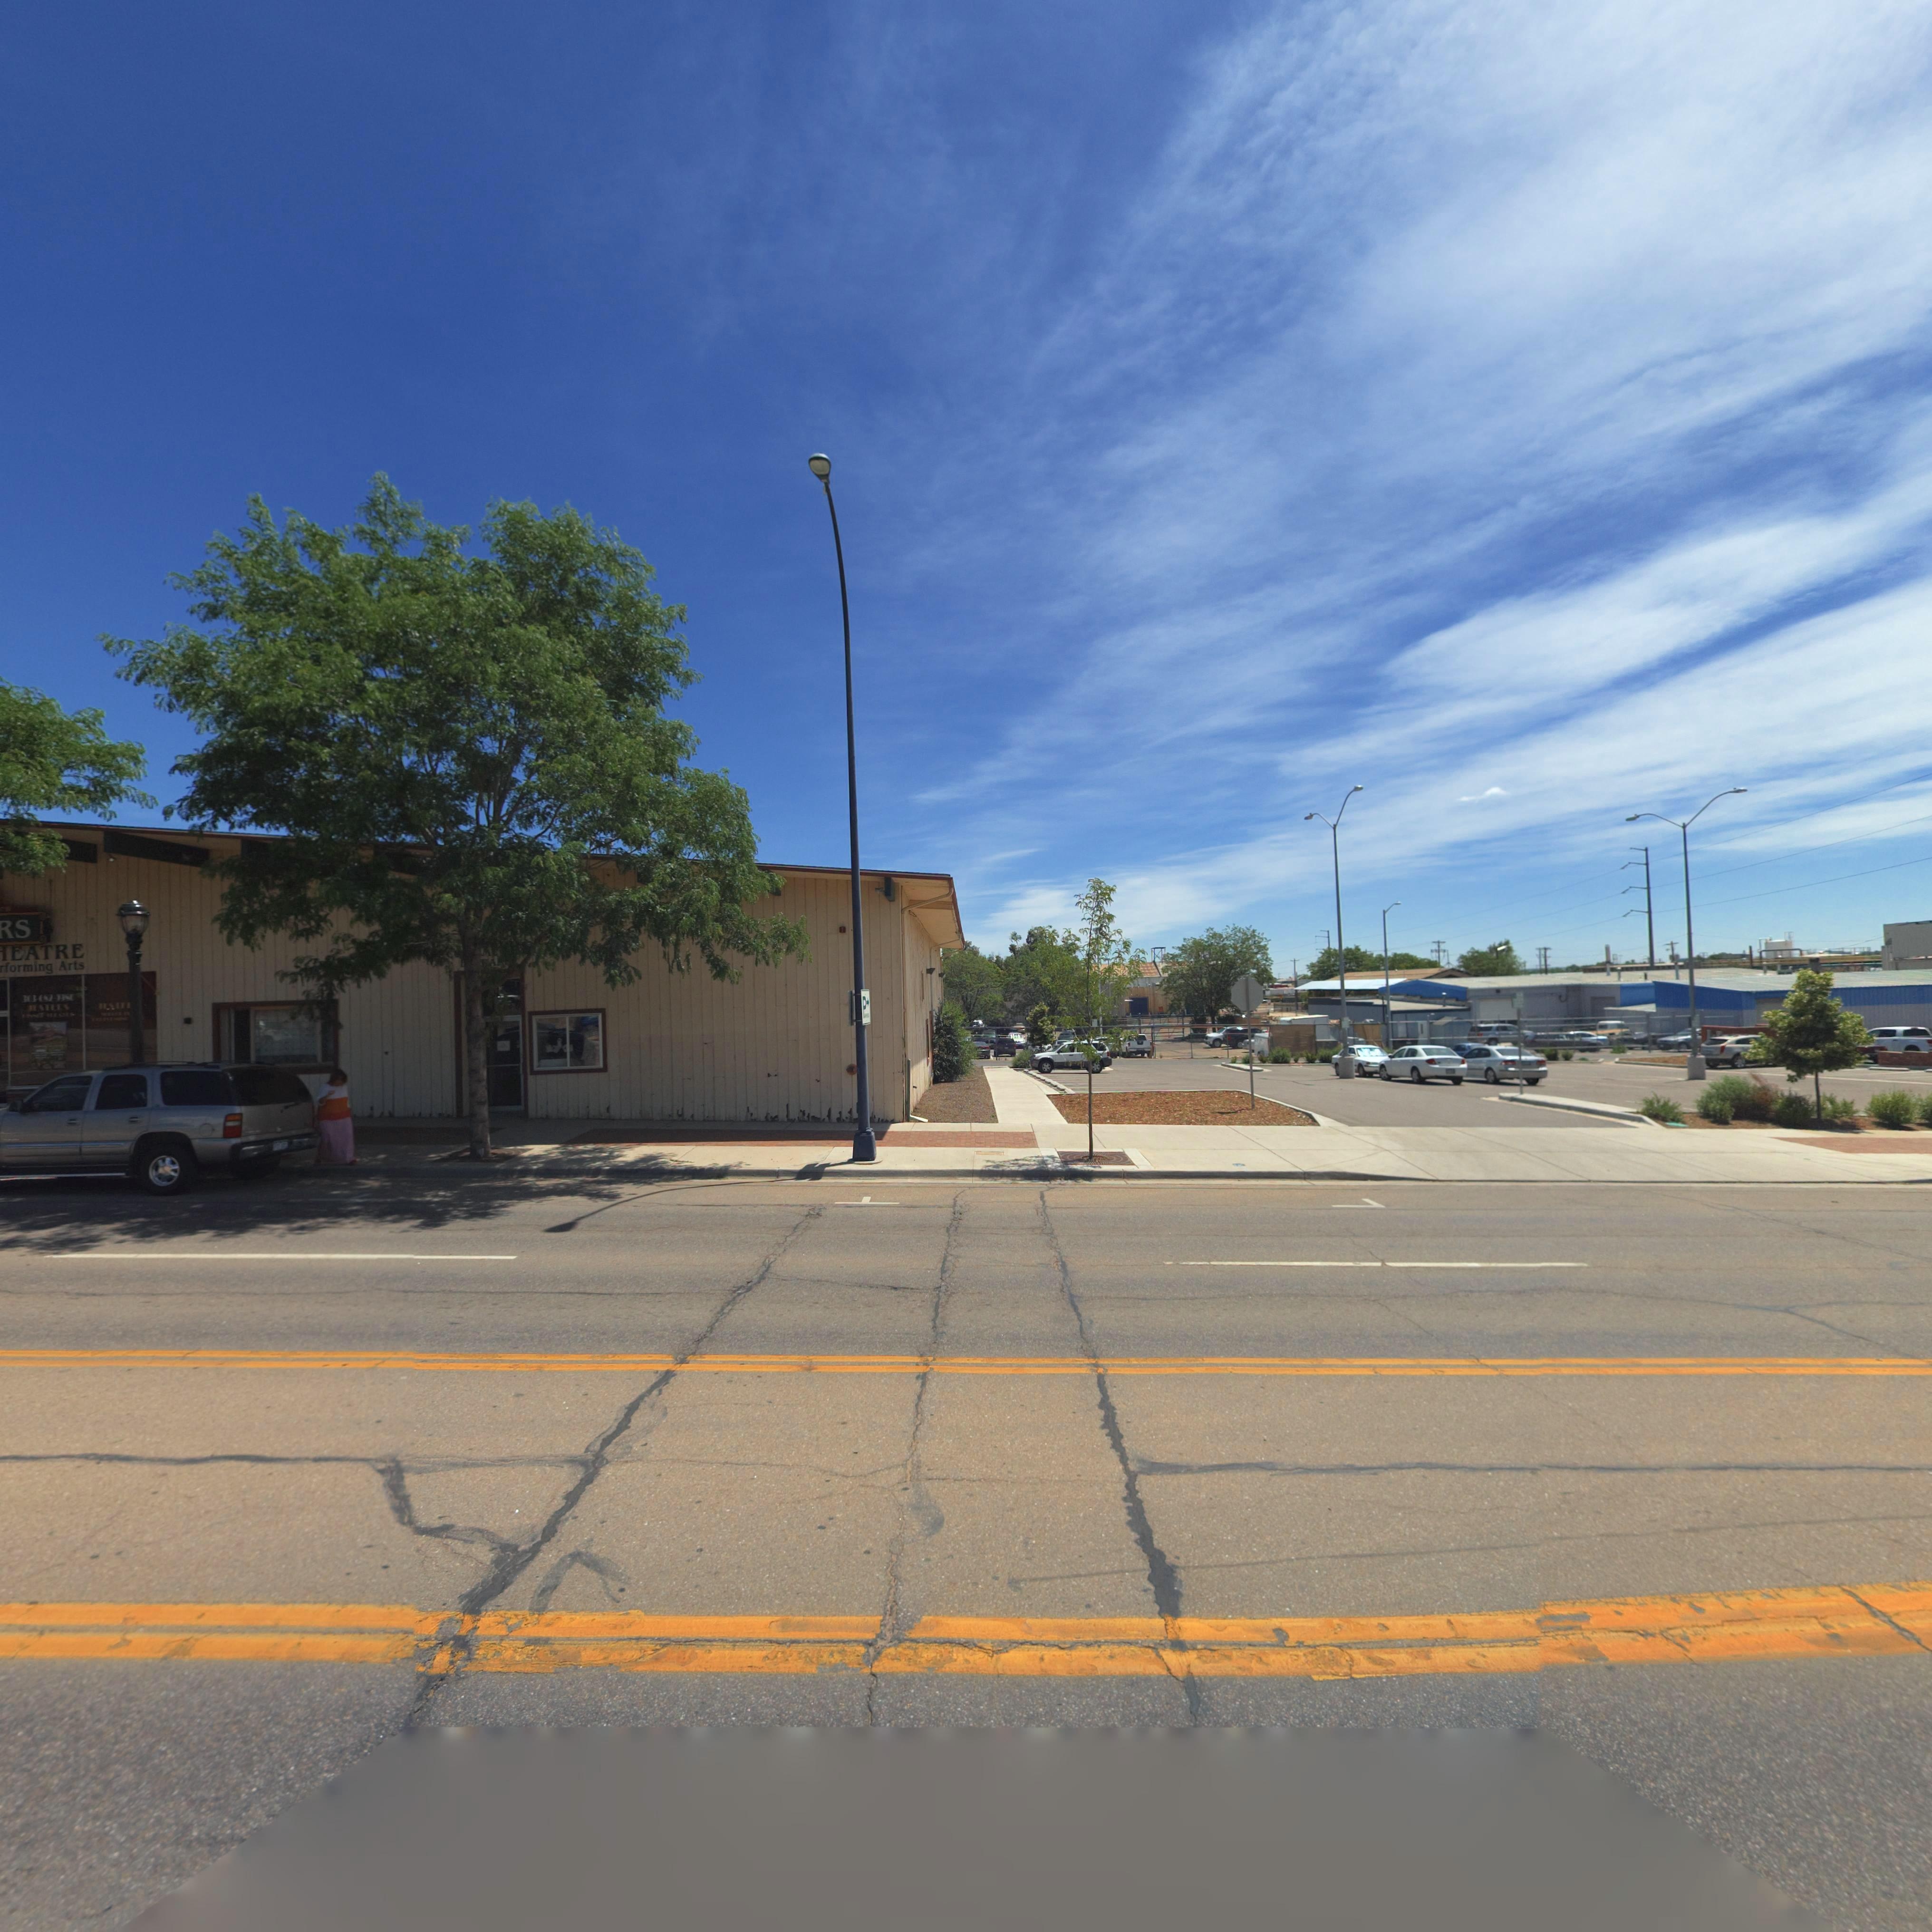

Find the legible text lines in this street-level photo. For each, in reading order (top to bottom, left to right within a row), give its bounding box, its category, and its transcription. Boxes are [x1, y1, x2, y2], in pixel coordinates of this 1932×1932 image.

[14, 919, 32, 939] BusinessName: S
[10, 943, 85, 961] BusinessName: EATRE
[4, 959, 86, 975] BusinessName: forming Arts